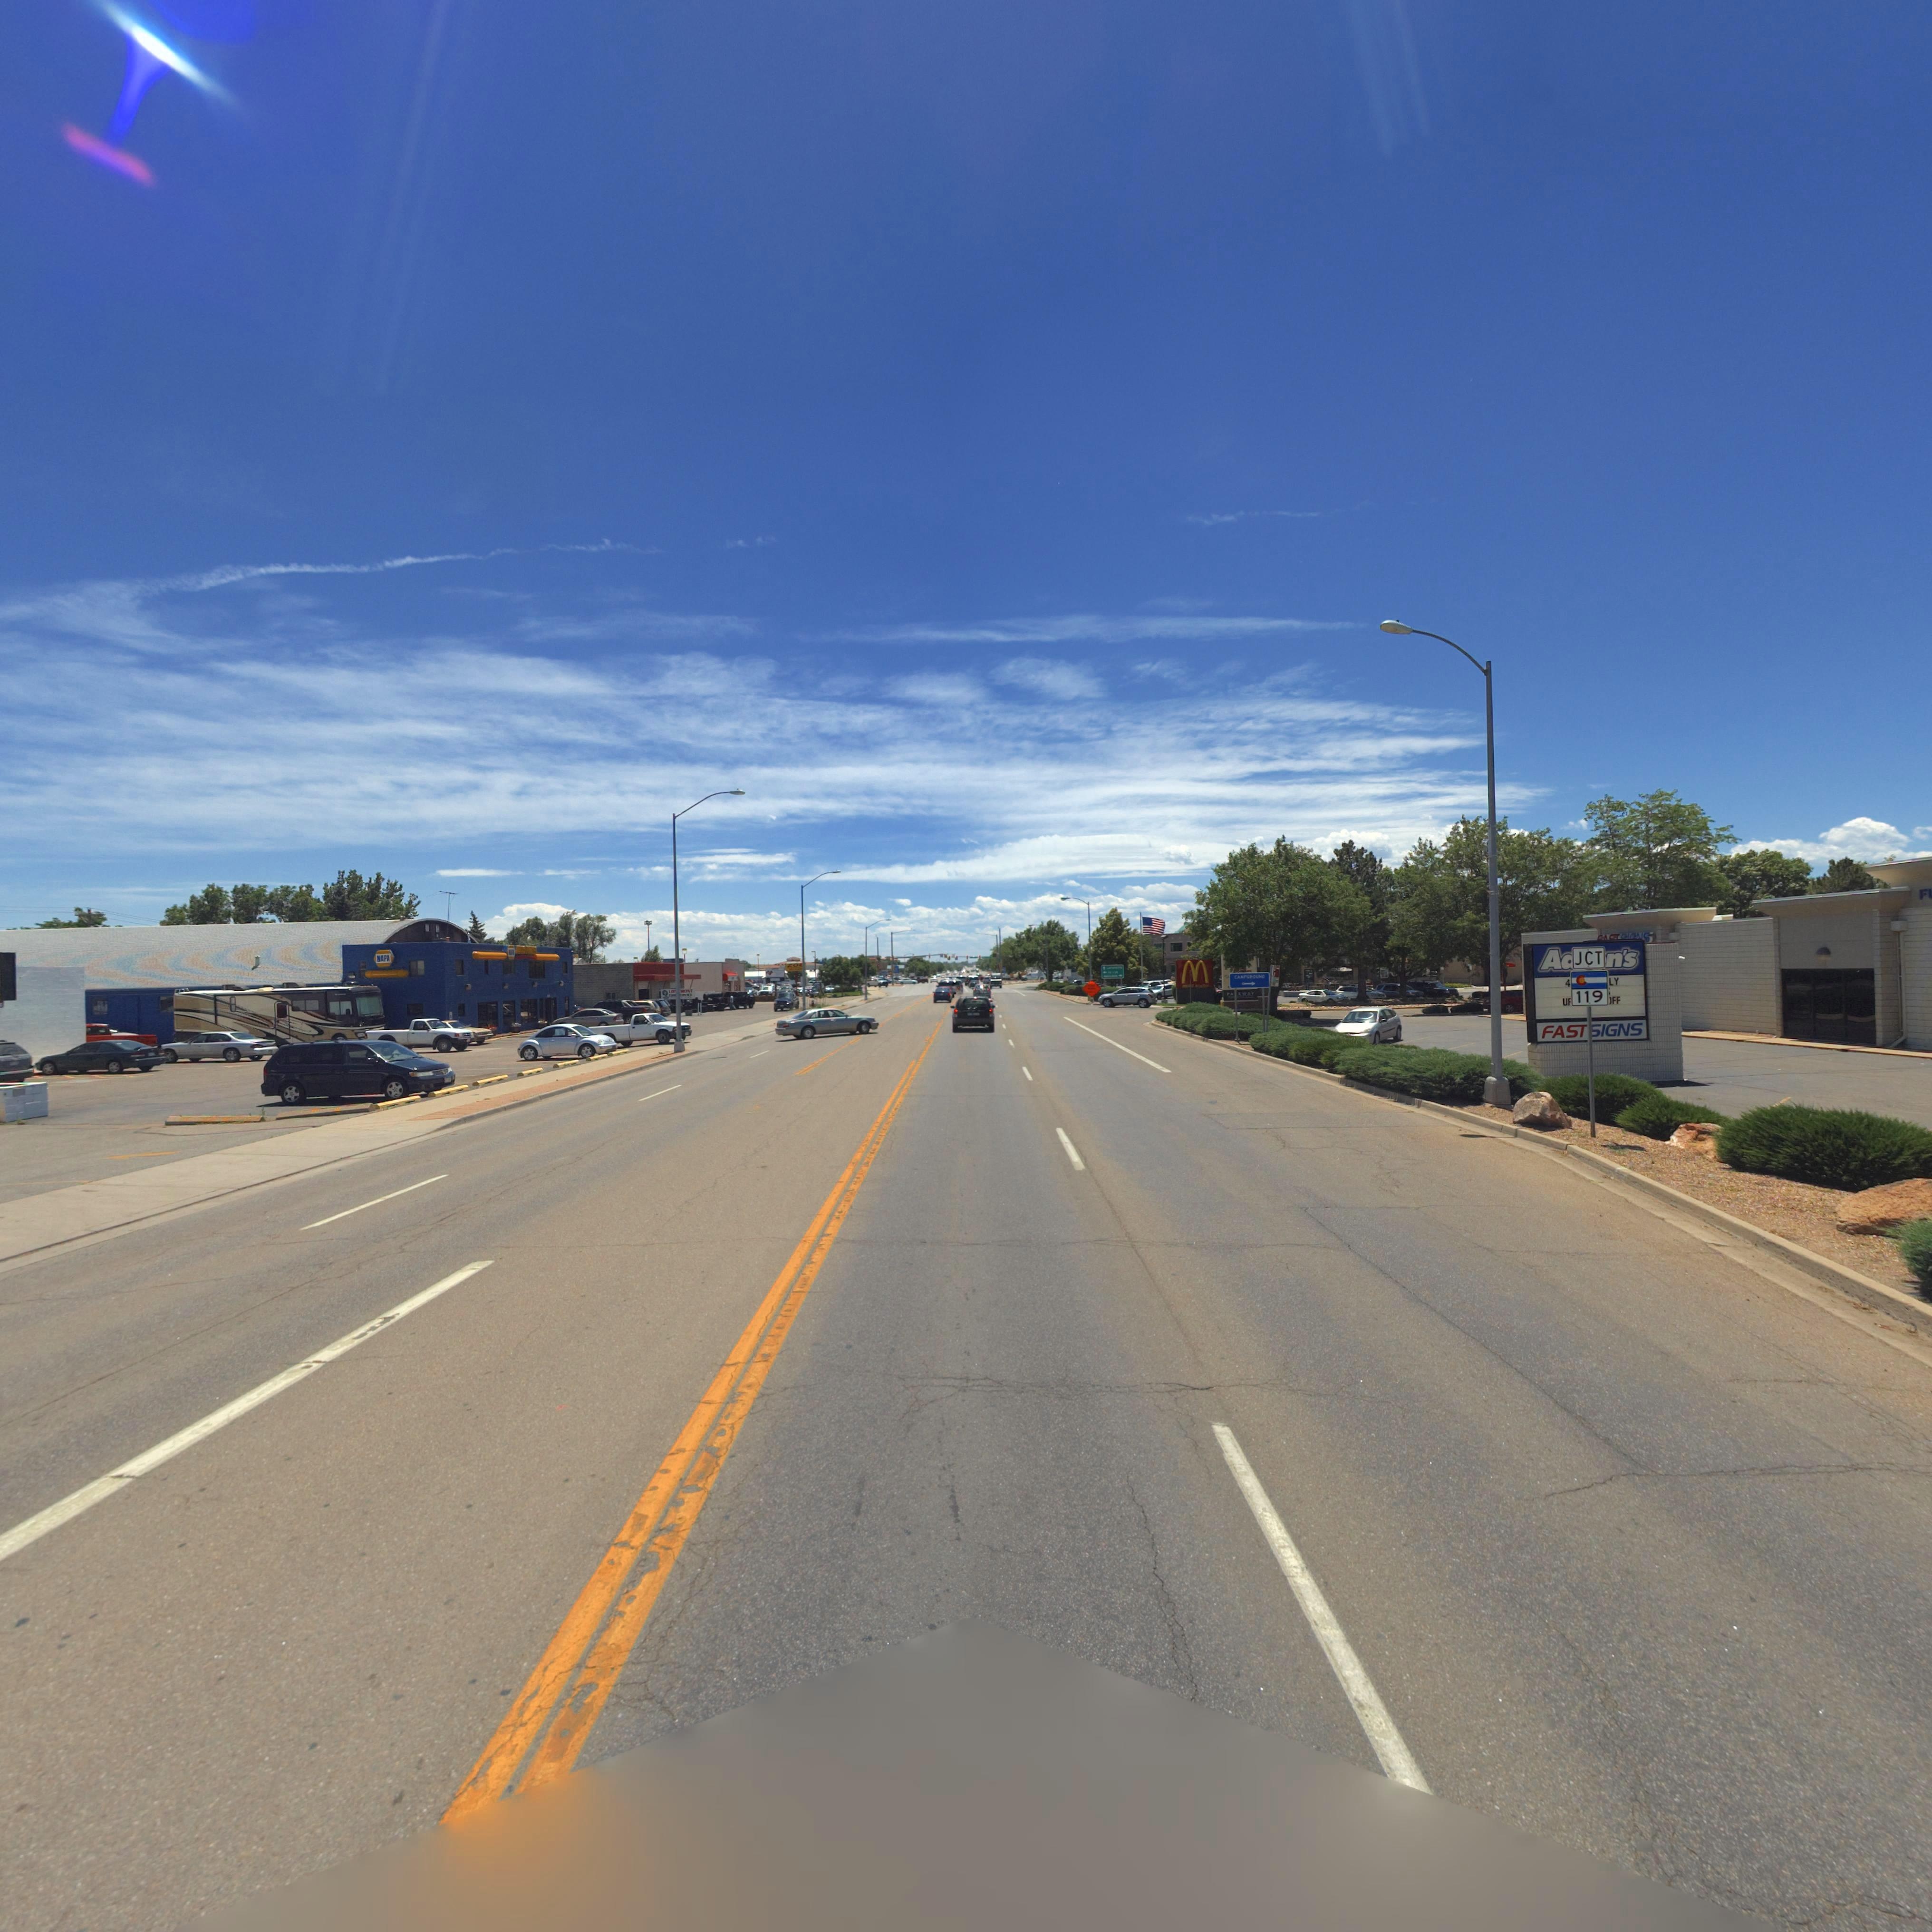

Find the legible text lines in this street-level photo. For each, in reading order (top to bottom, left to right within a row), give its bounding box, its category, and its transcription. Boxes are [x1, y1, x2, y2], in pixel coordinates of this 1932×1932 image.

[1642, 931, 1651, 943] BusinessName: S
[515, 945, 537, 955] BusinessName: A*** ****S
[377, 954, 390, 962] BusinessName: NAPA
[787, 963, 802, 967] BusinessName: ZO*
[1538, 947, 1574, 971] BusinessName: Aa
[1604, 947, 1639, 968] BusinessName: n's
[1540, 1022, 1643, 1039] BusinessName: FAST SIGNS